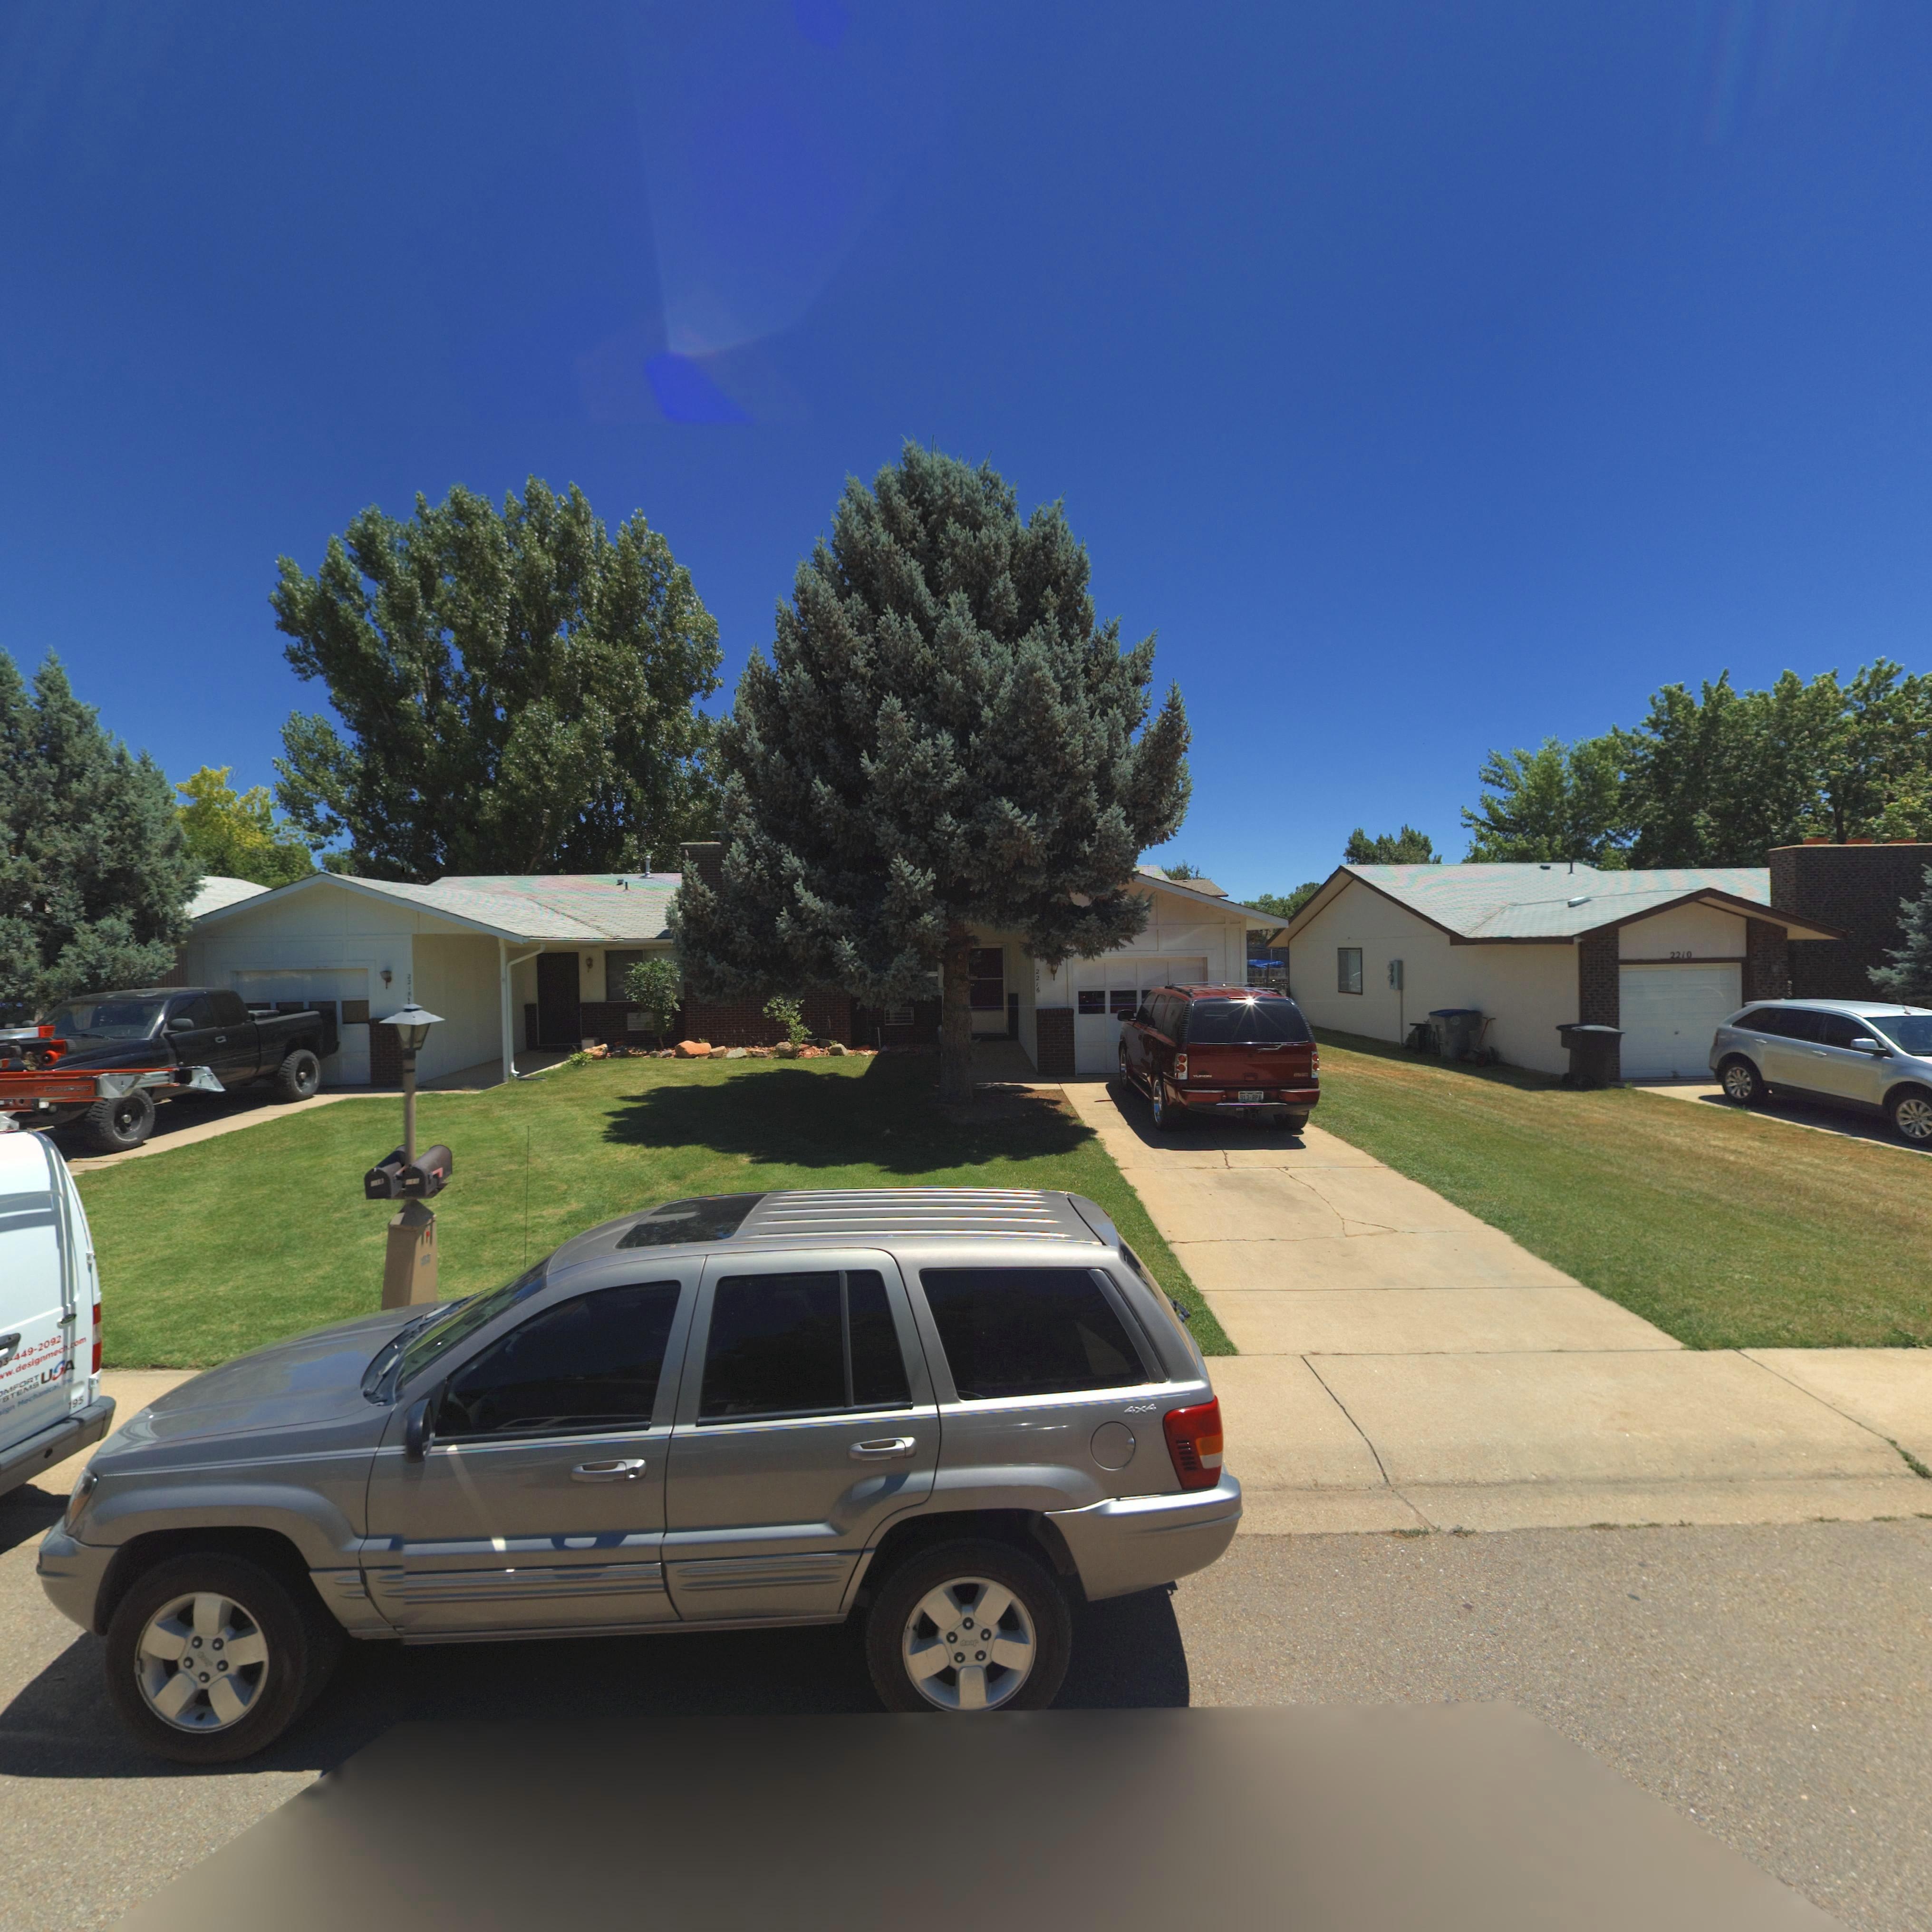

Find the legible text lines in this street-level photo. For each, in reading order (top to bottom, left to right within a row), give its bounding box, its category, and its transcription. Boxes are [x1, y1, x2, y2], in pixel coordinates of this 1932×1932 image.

[1669, 949, 1692, 959] StreetNumber: 2210
[407, 973, 411, 997] StreetNumber: 221*
[1035, 968, 1040, 993] StreetNumber: 2216
[375, 1178, 383, 1185] StreetNumber: *2
[406, 1178, 419, 1185] StreetNumber: **1*